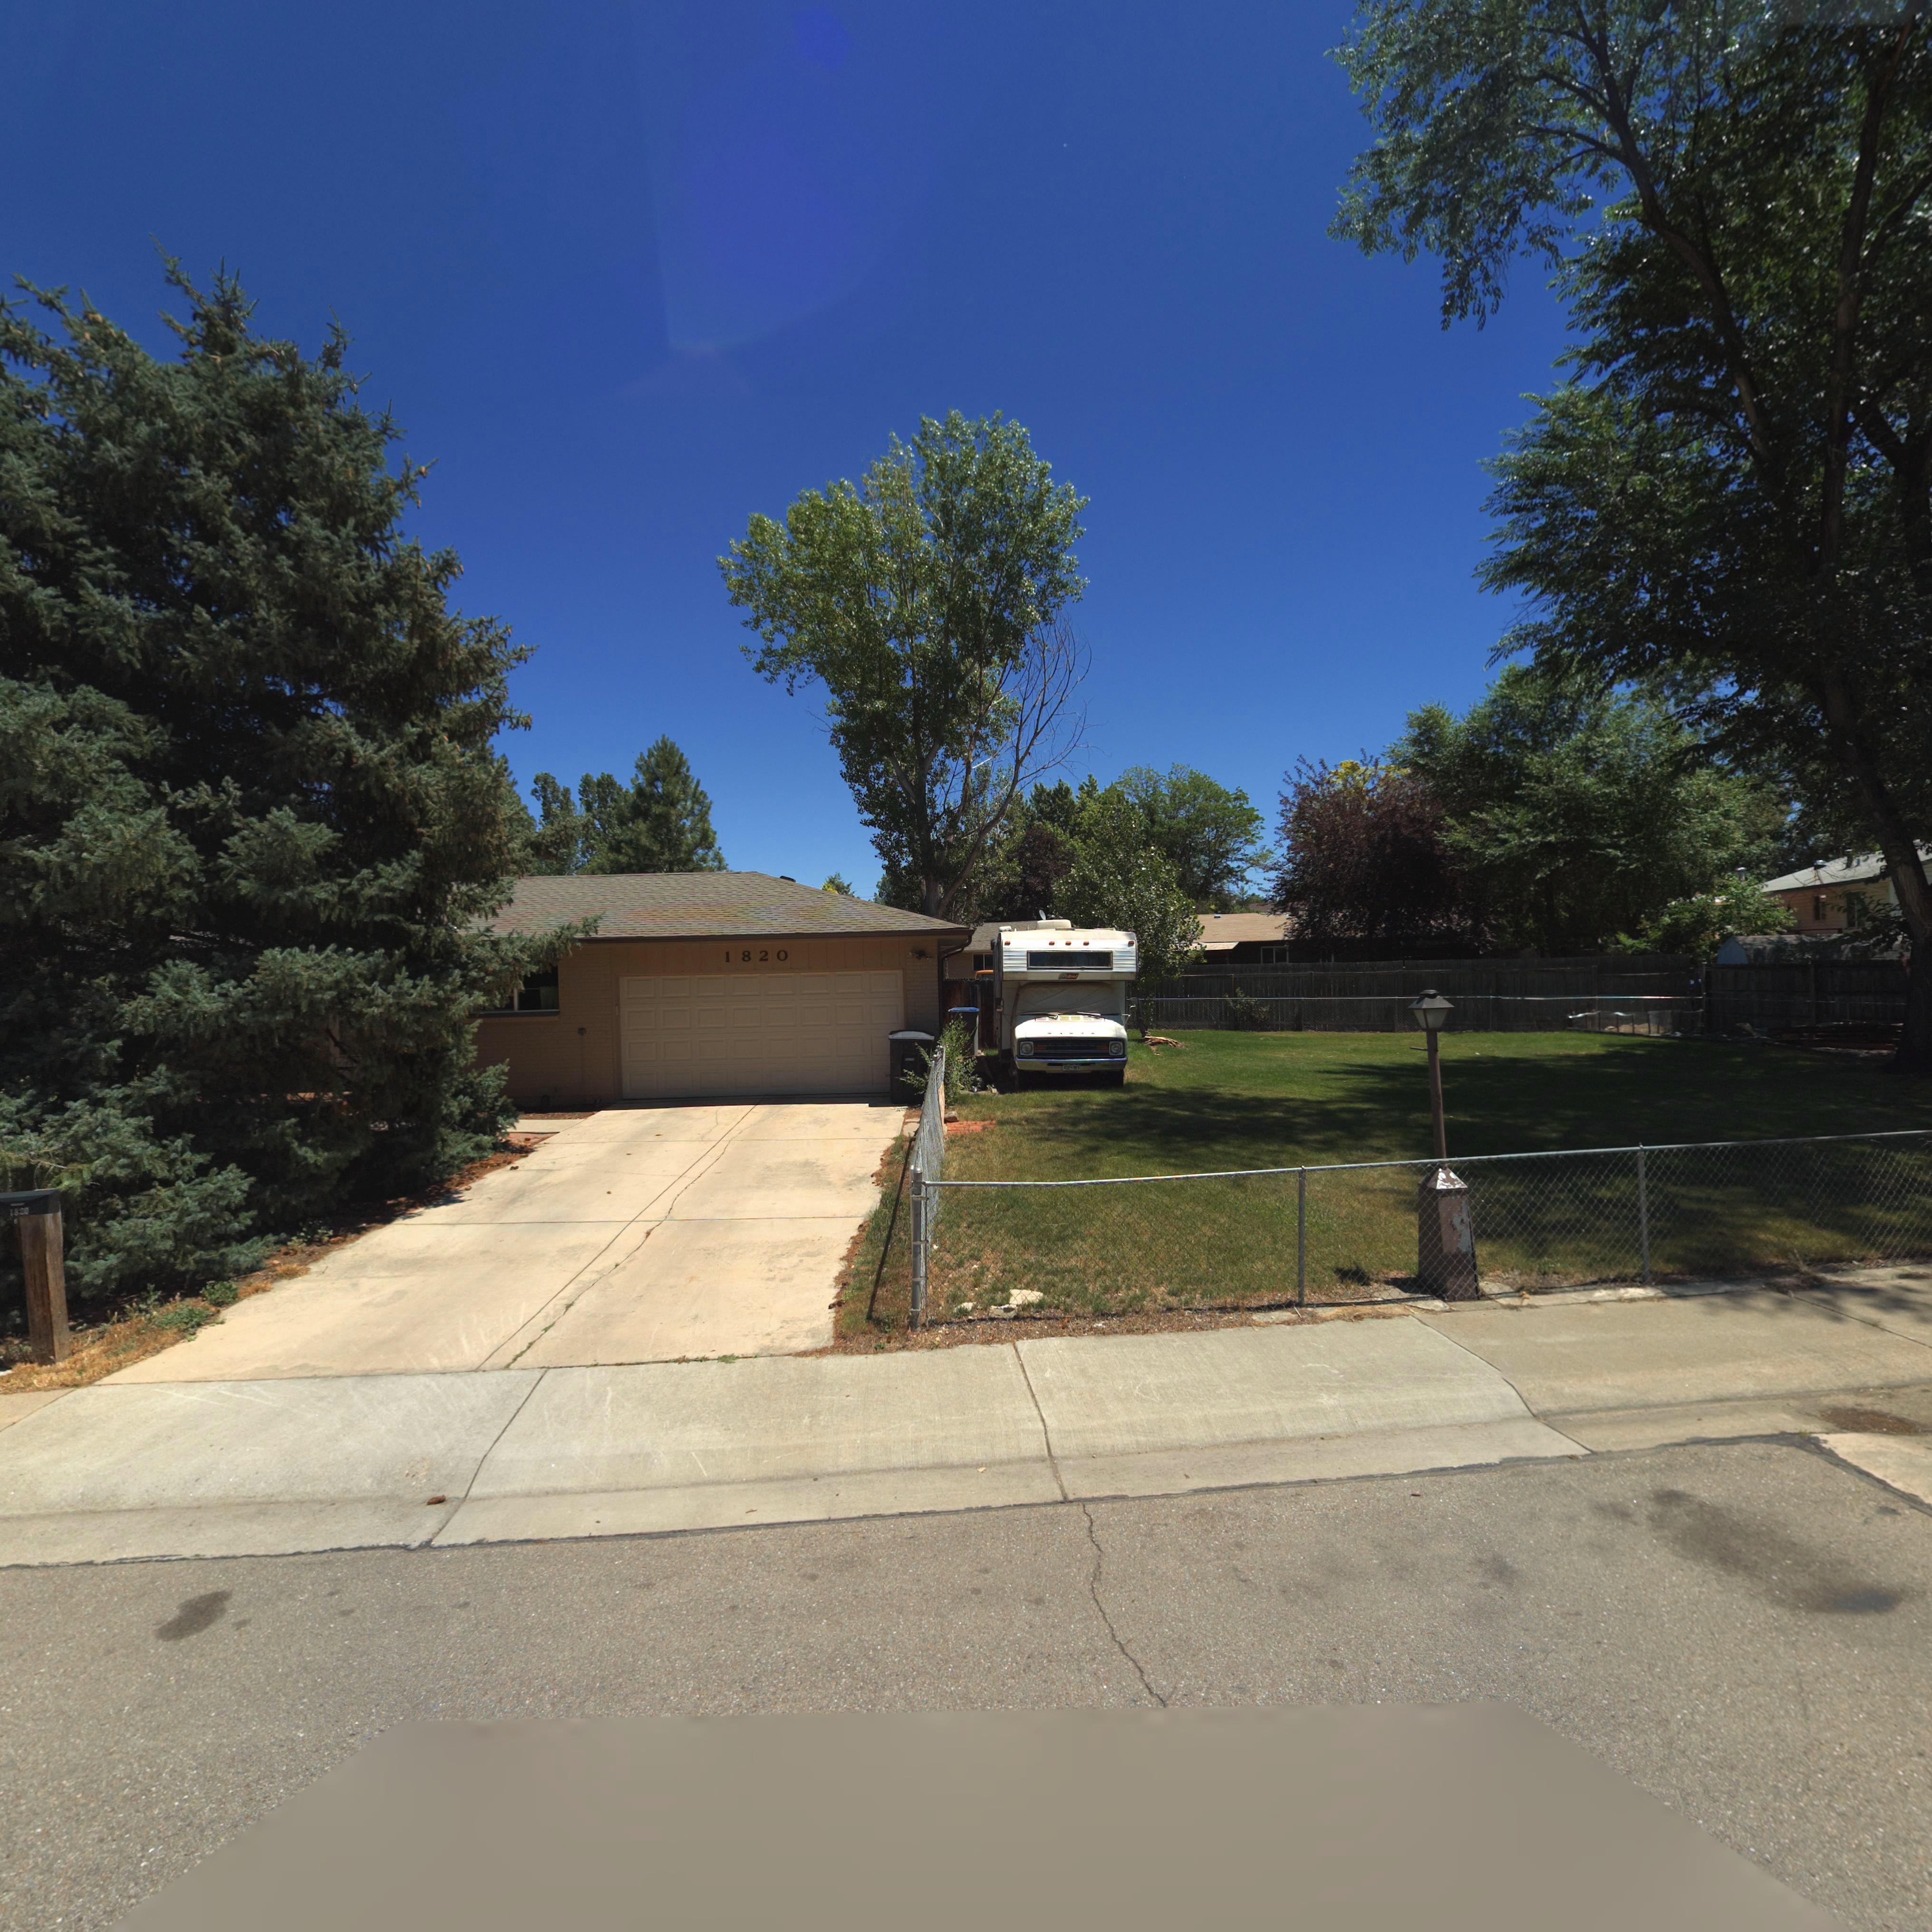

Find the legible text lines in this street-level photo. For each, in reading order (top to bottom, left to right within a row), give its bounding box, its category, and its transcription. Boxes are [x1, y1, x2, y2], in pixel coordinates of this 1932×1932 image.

[724, 949, 789, 963] StreetNumber: 1820
[10, 1207, 29, 1217] StreetNumber: 1820